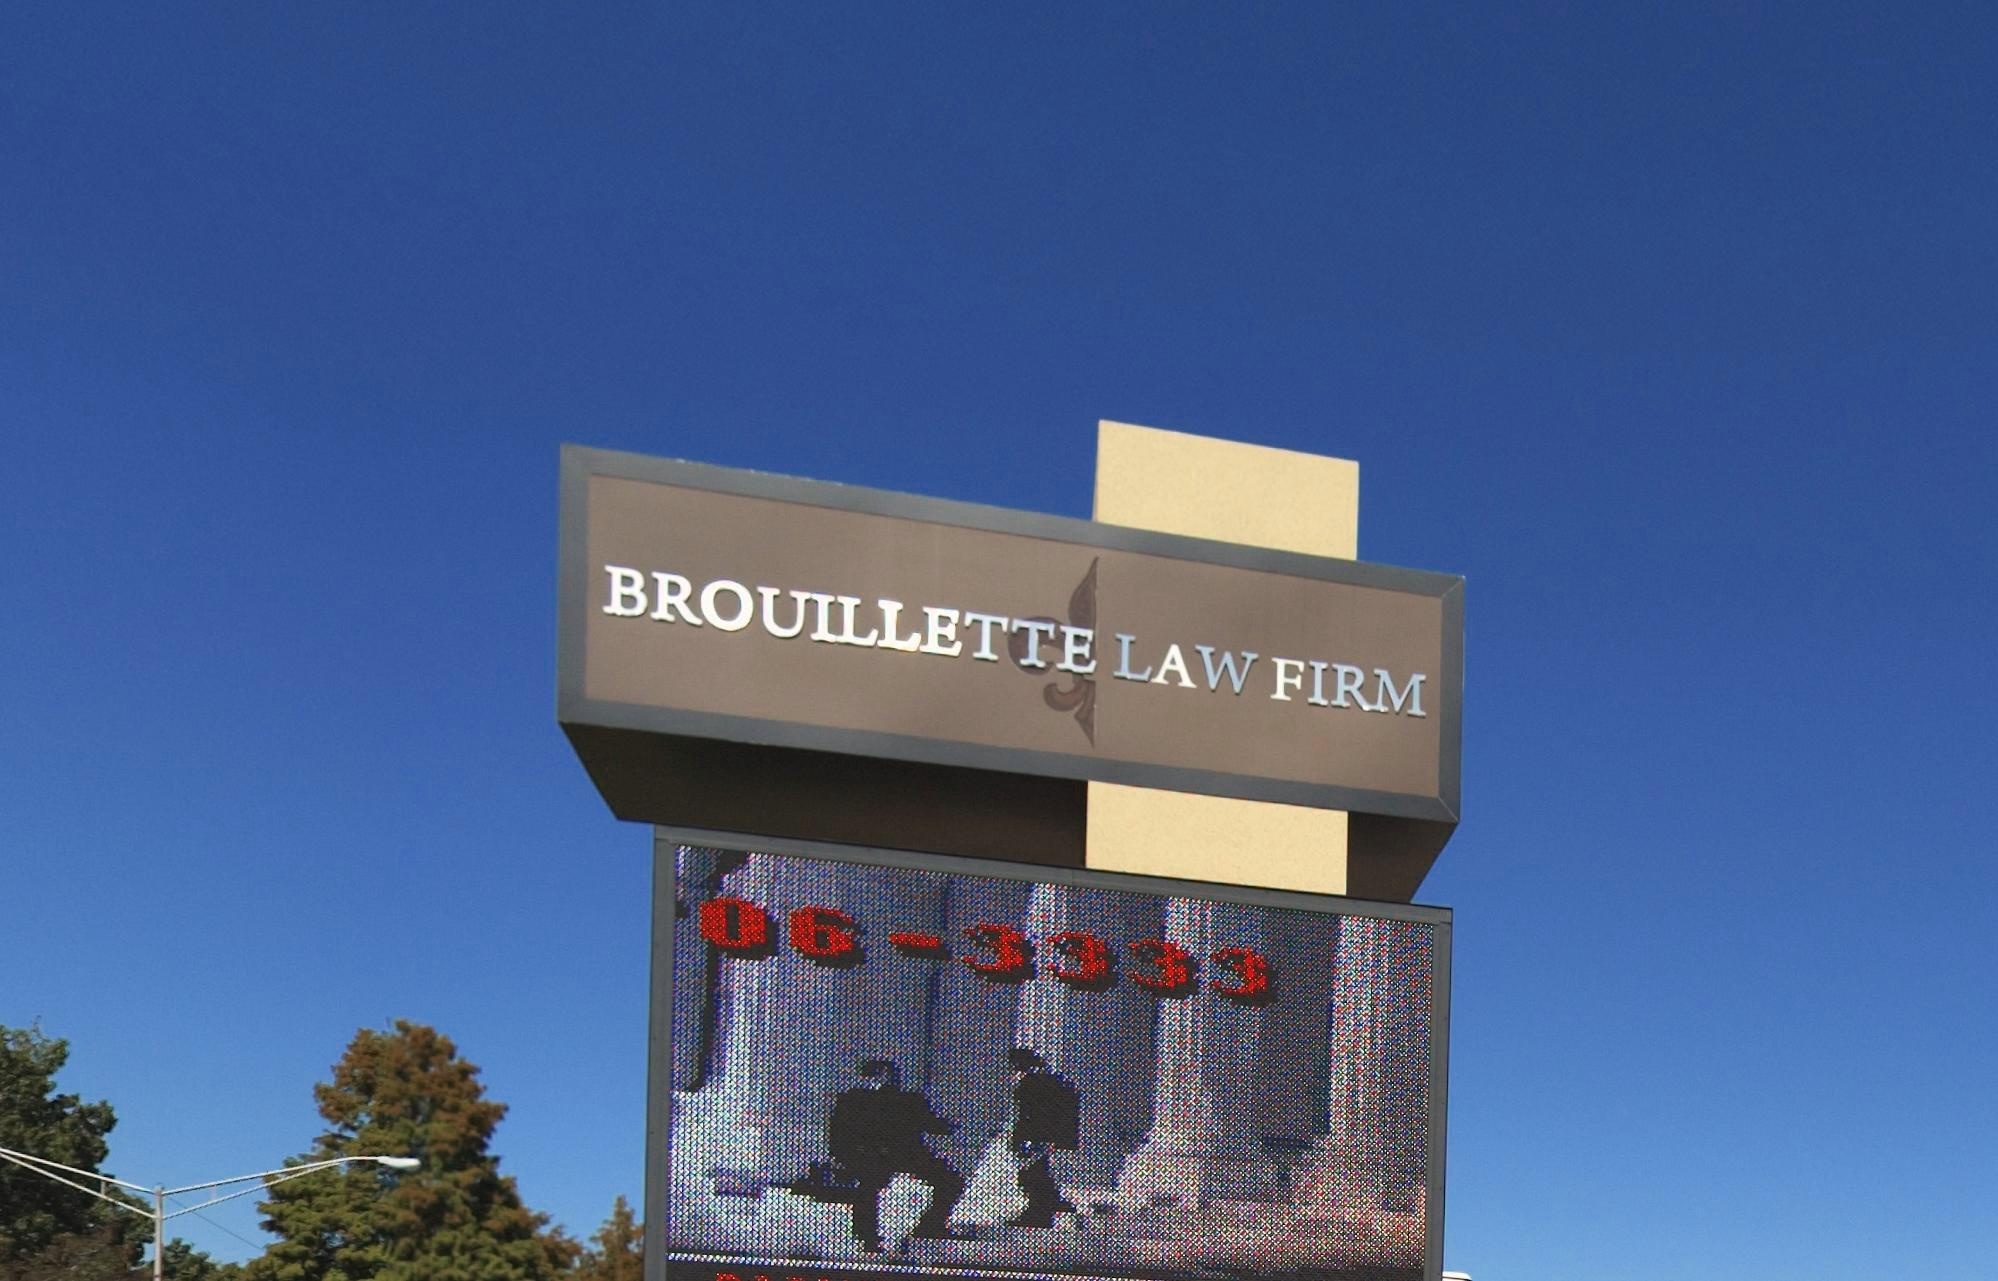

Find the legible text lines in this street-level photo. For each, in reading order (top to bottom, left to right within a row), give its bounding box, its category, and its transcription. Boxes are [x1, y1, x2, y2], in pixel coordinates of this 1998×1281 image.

[596, 560, 1431, 724] BusinessName: BROUILLETTE LAW FIRM
[685, 883, 1283, 1013] None: 06-3333